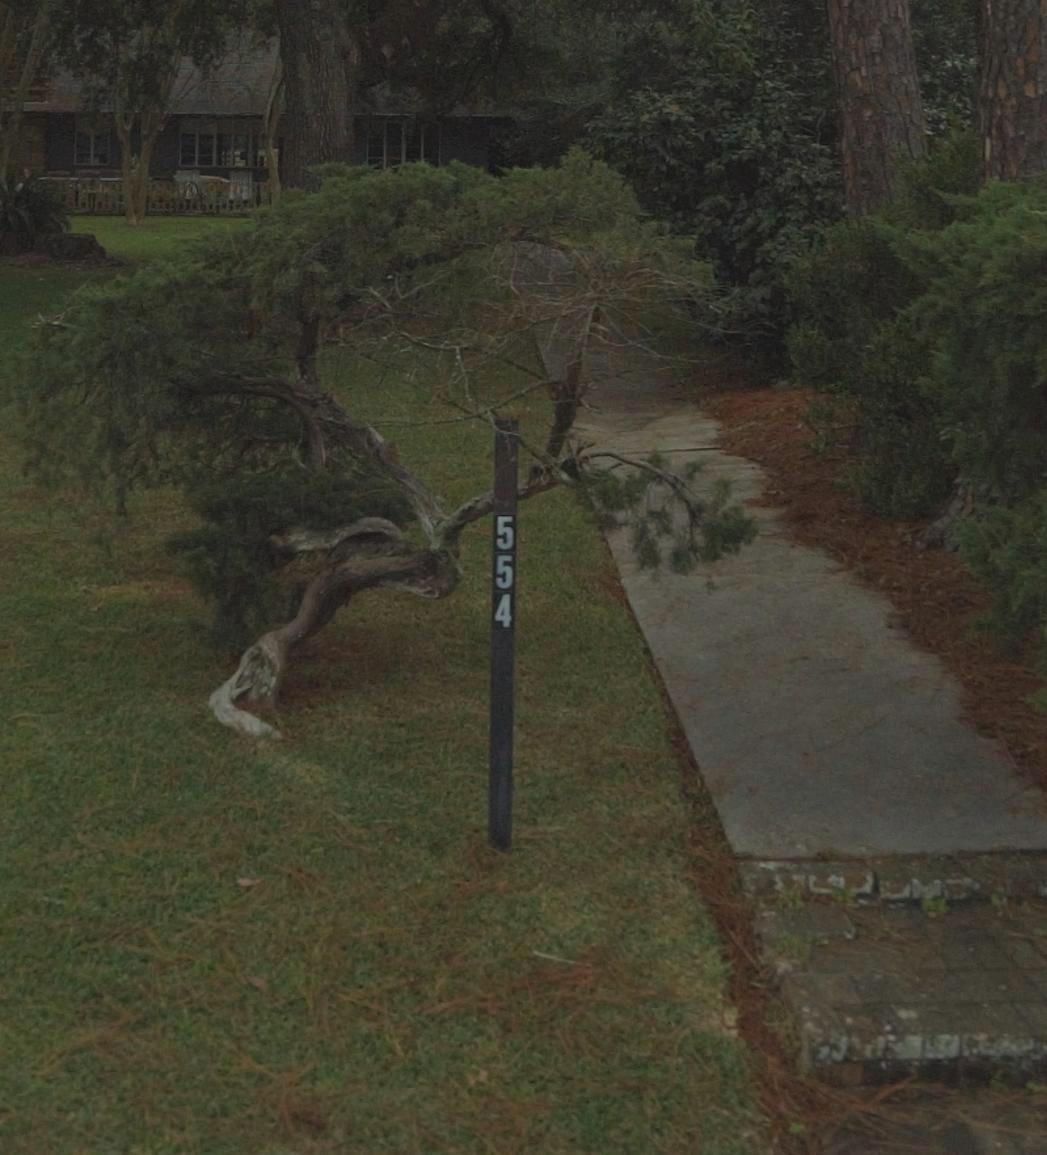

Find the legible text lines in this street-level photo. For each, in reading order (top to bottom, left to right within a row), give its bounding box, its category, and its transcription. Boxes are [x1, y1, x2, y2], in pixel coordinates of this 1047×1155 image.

[493, 515, 515, 630] StreetNumber: 544